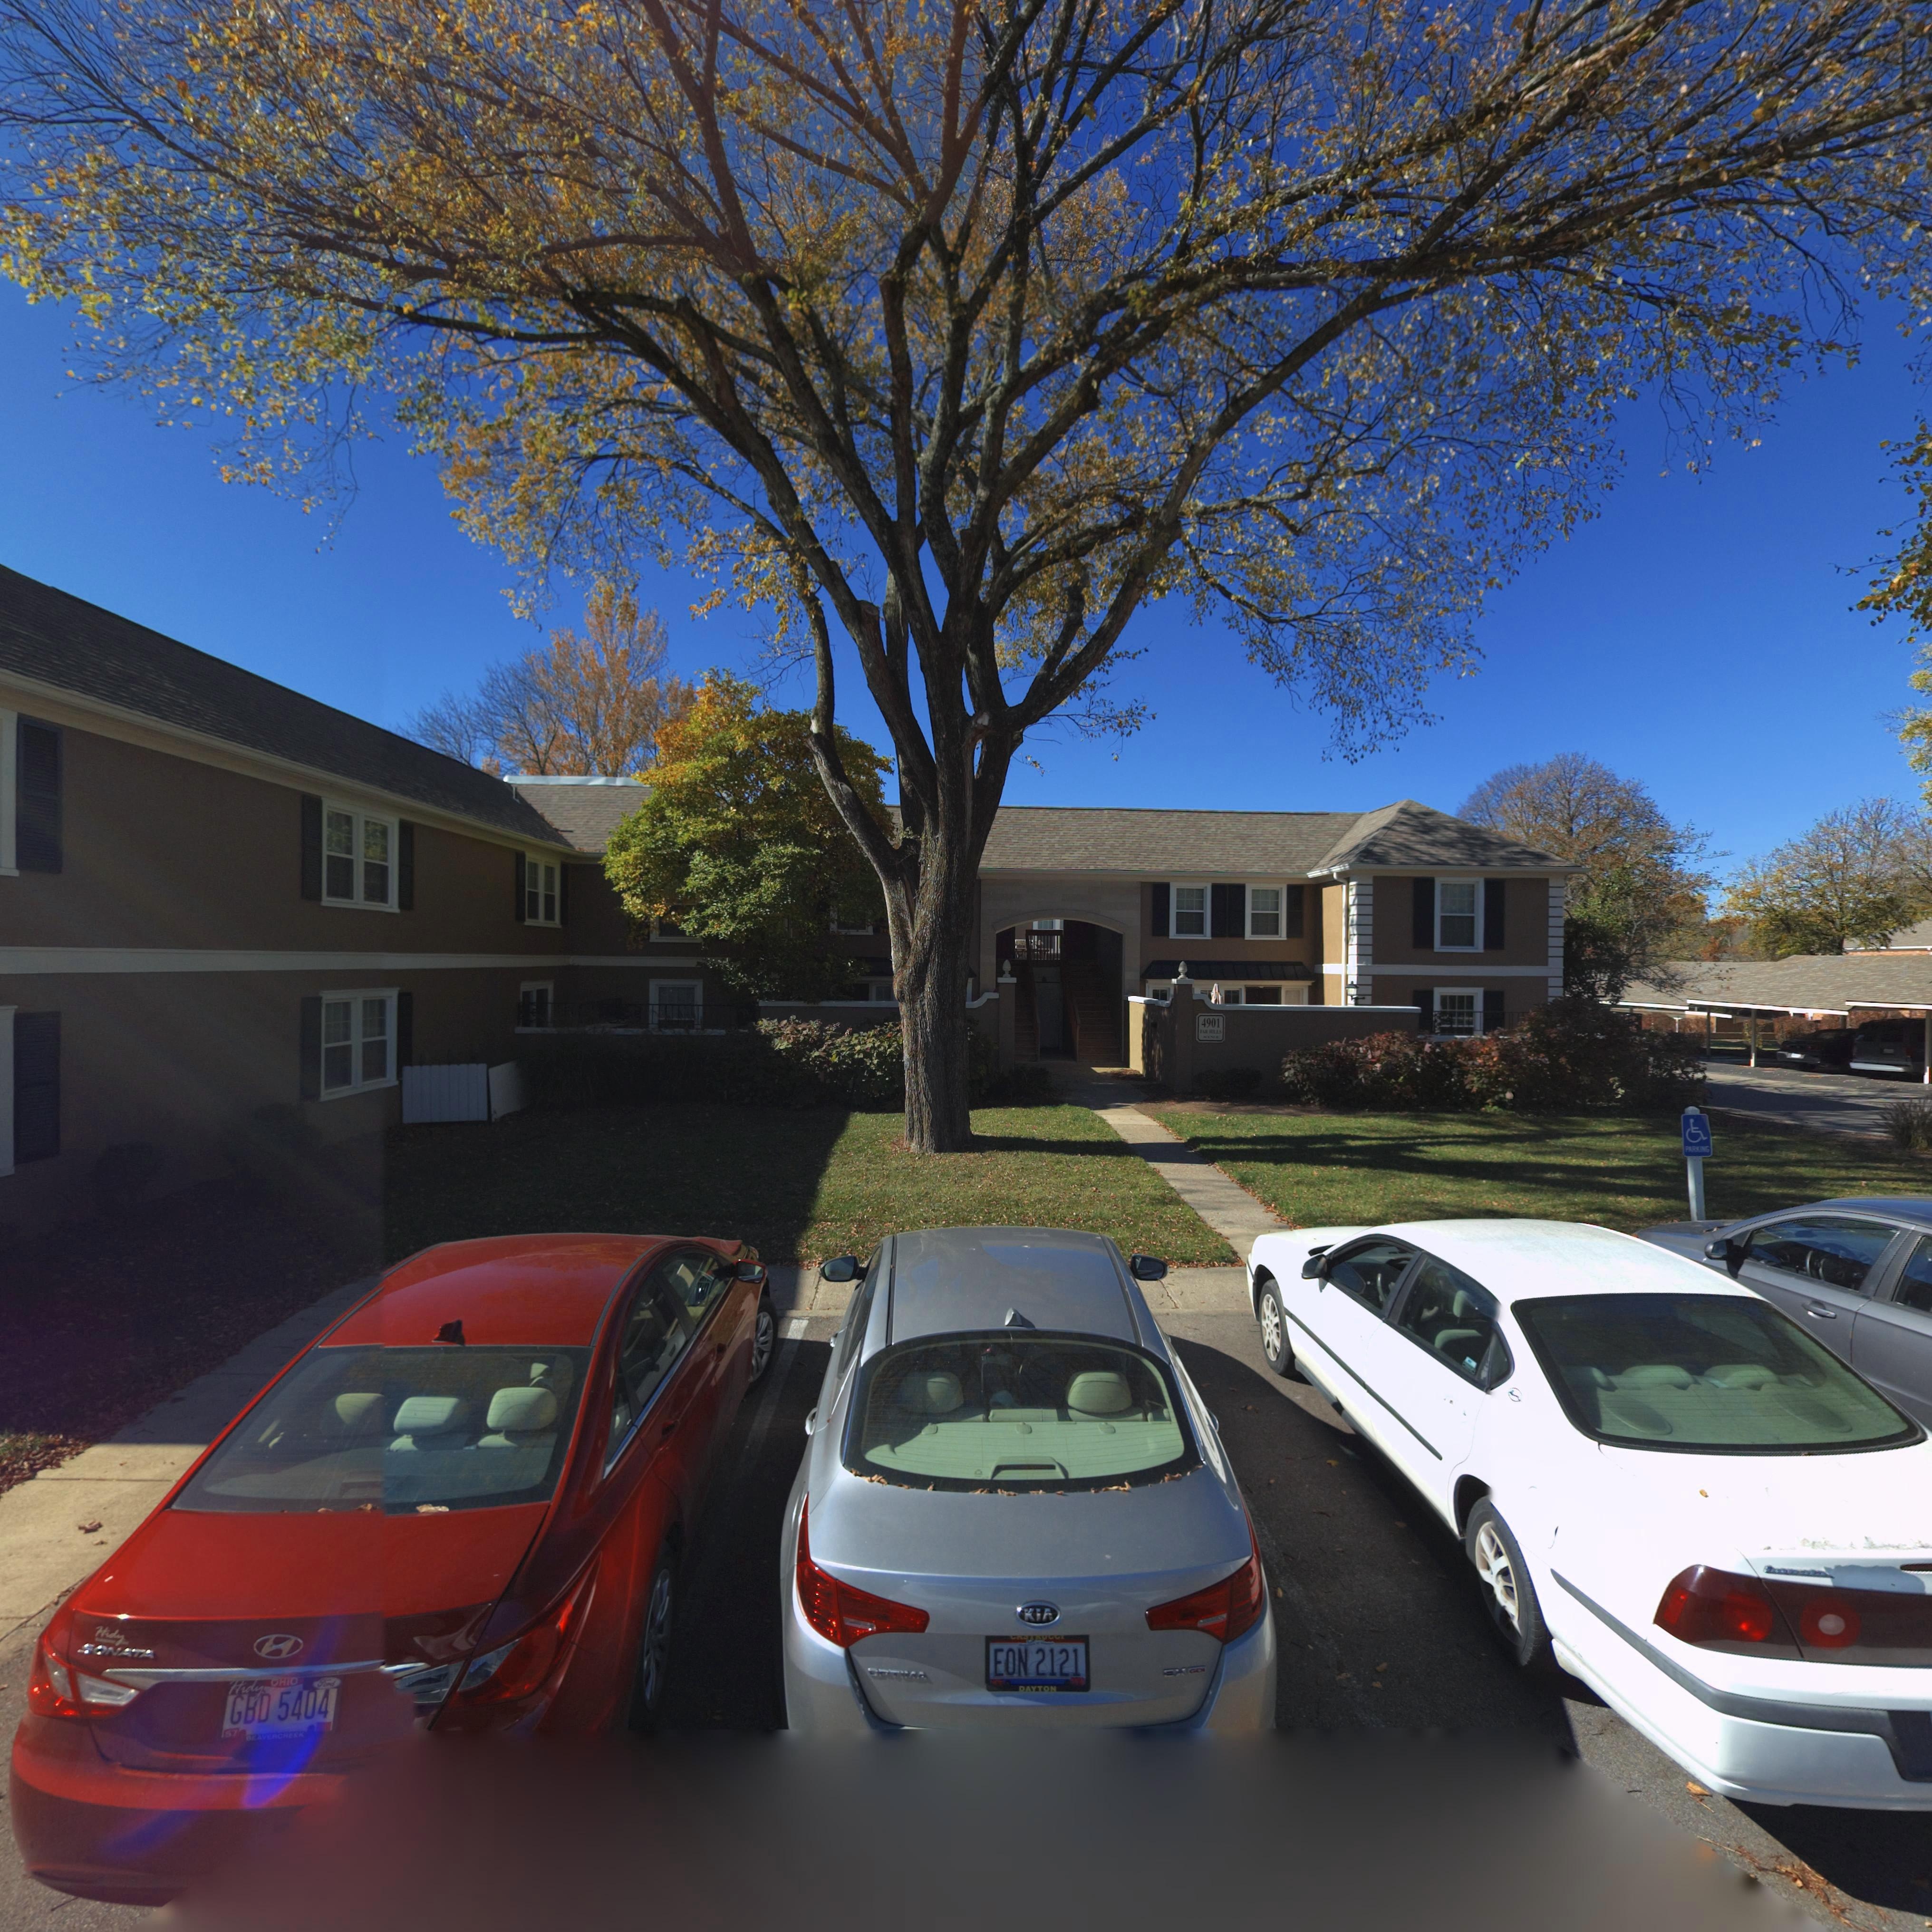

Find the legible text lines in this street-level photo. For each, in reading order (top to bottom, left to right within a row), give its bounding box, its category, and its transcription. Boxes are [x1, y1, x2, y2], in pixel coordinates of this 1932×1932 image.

[1200, 1017, 1220, 1028] StreetNumber: 4901